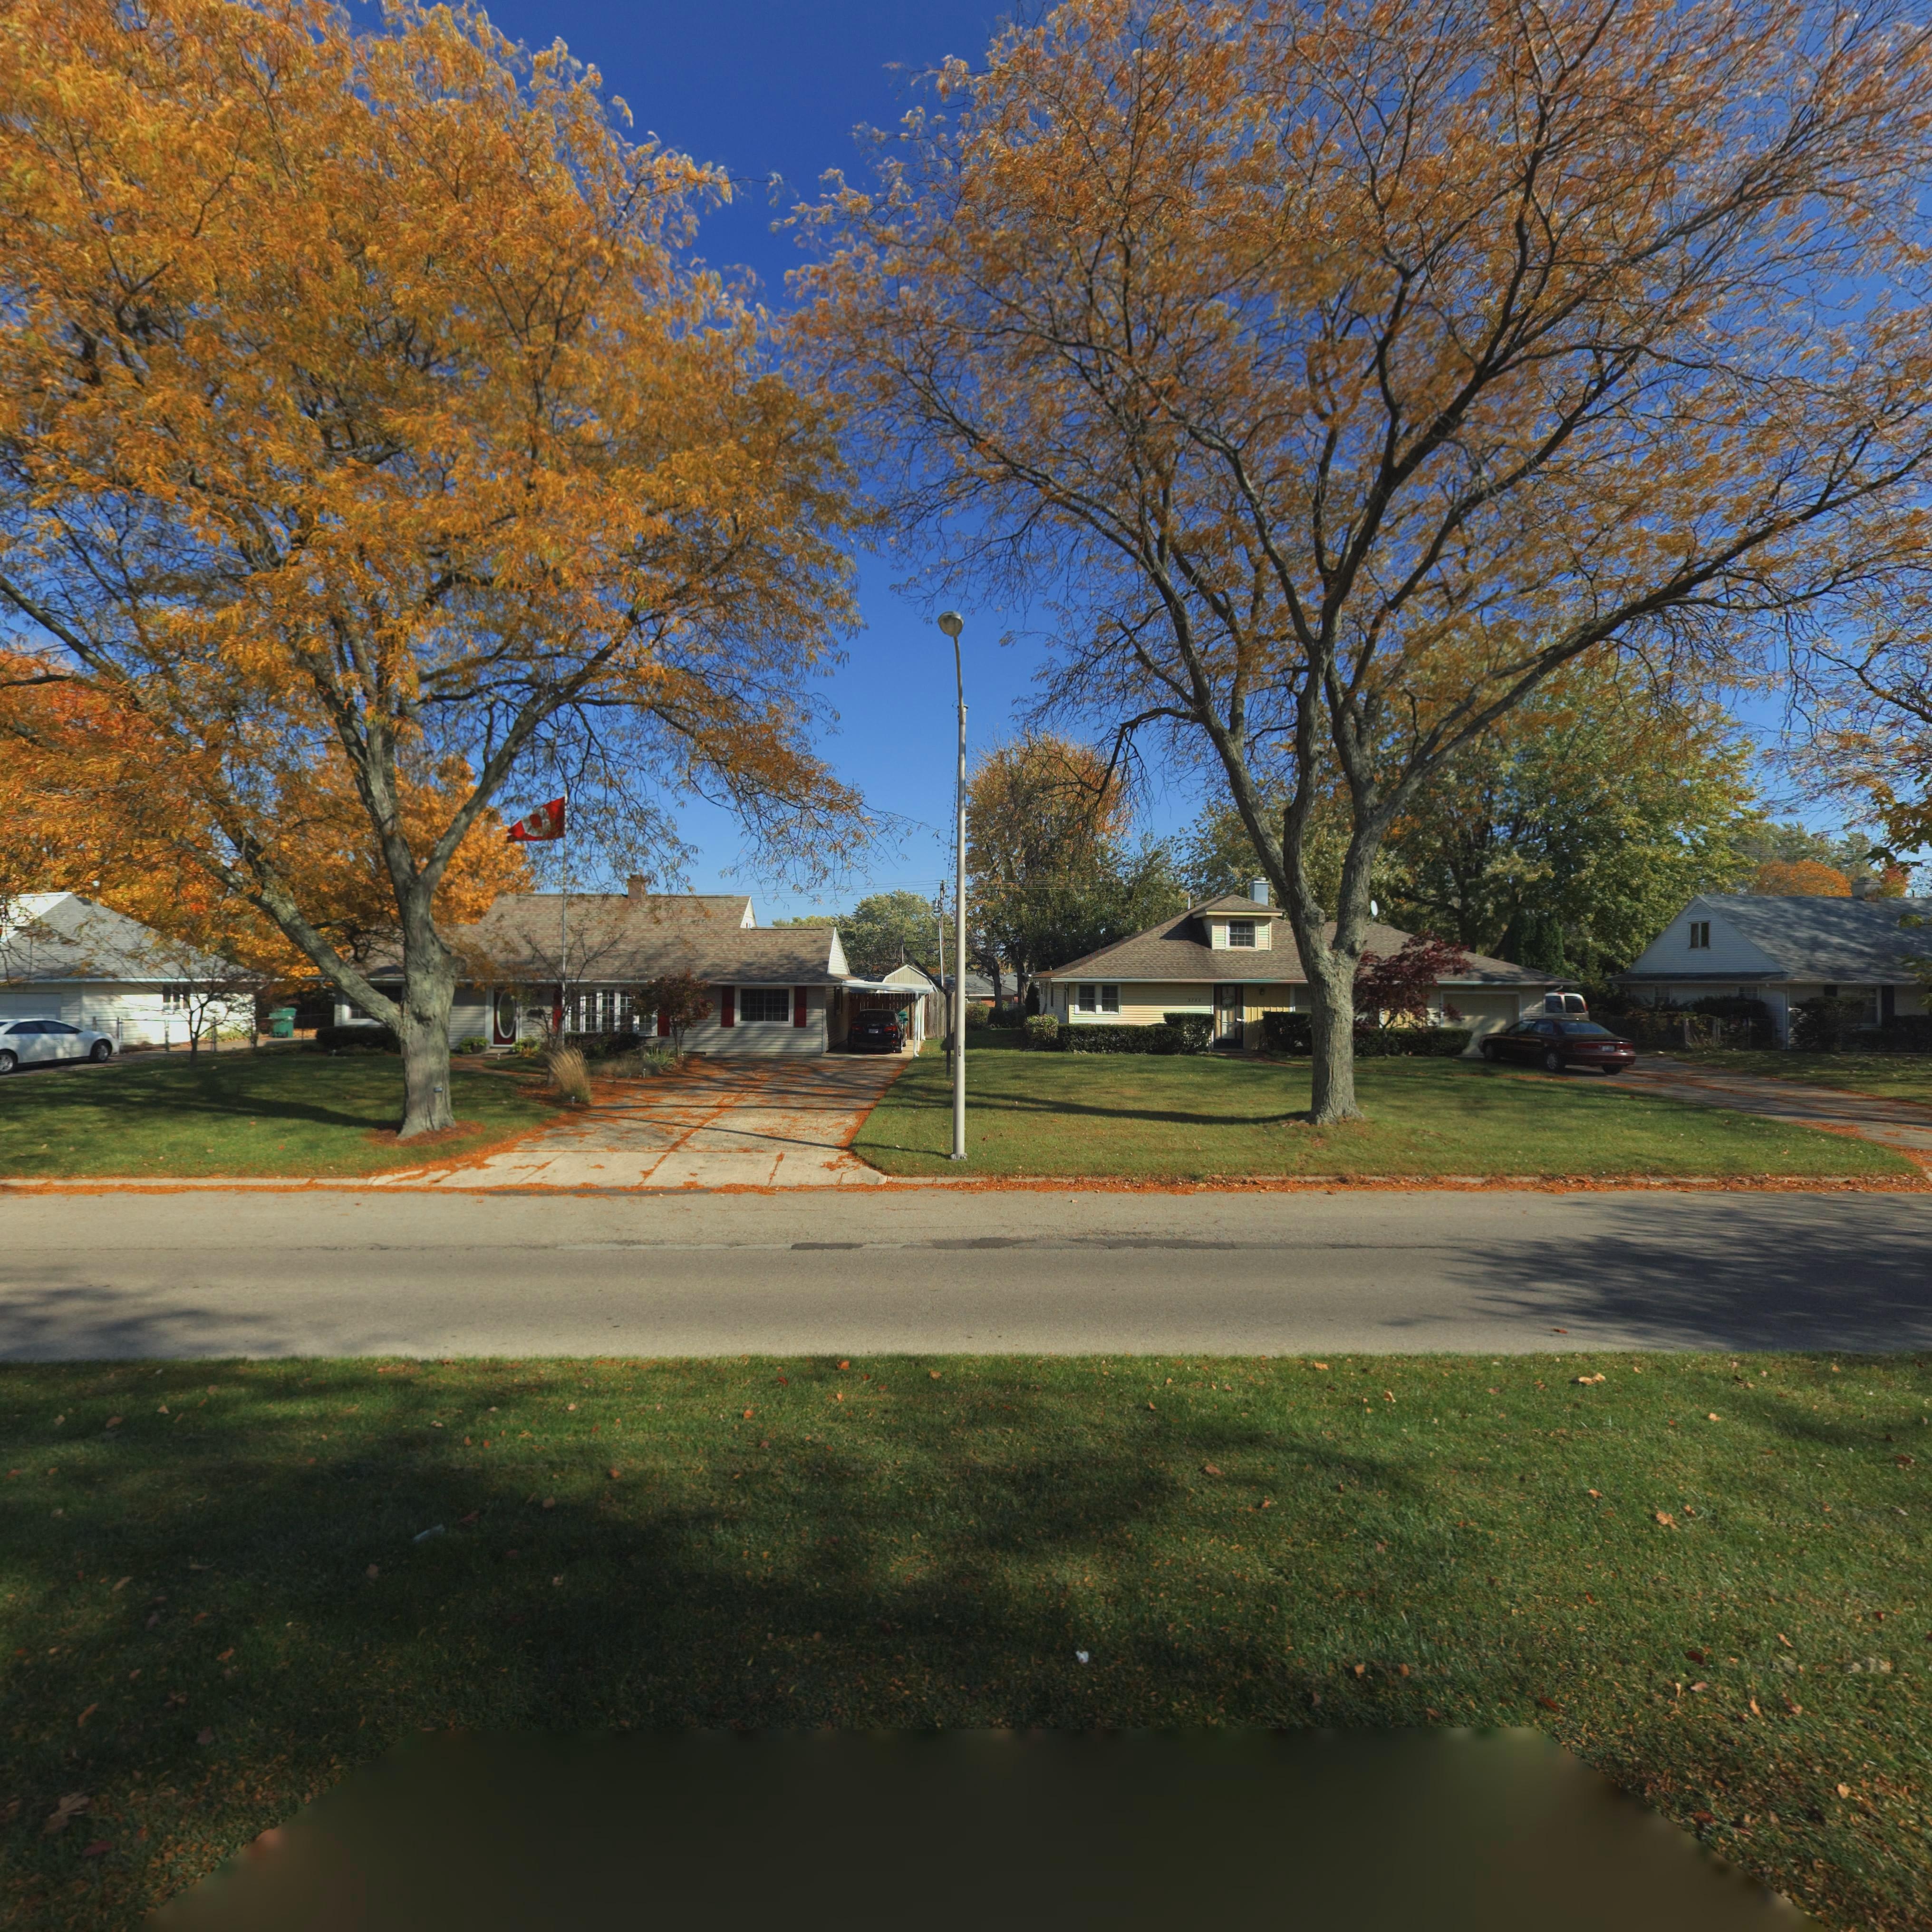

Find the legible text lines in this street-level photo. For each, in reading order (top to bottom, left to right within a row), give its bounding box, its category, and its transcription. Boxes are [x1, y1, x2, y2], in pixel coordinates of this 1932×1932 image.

[1187, 998, 1201, 1002] StreetNumber: 3736